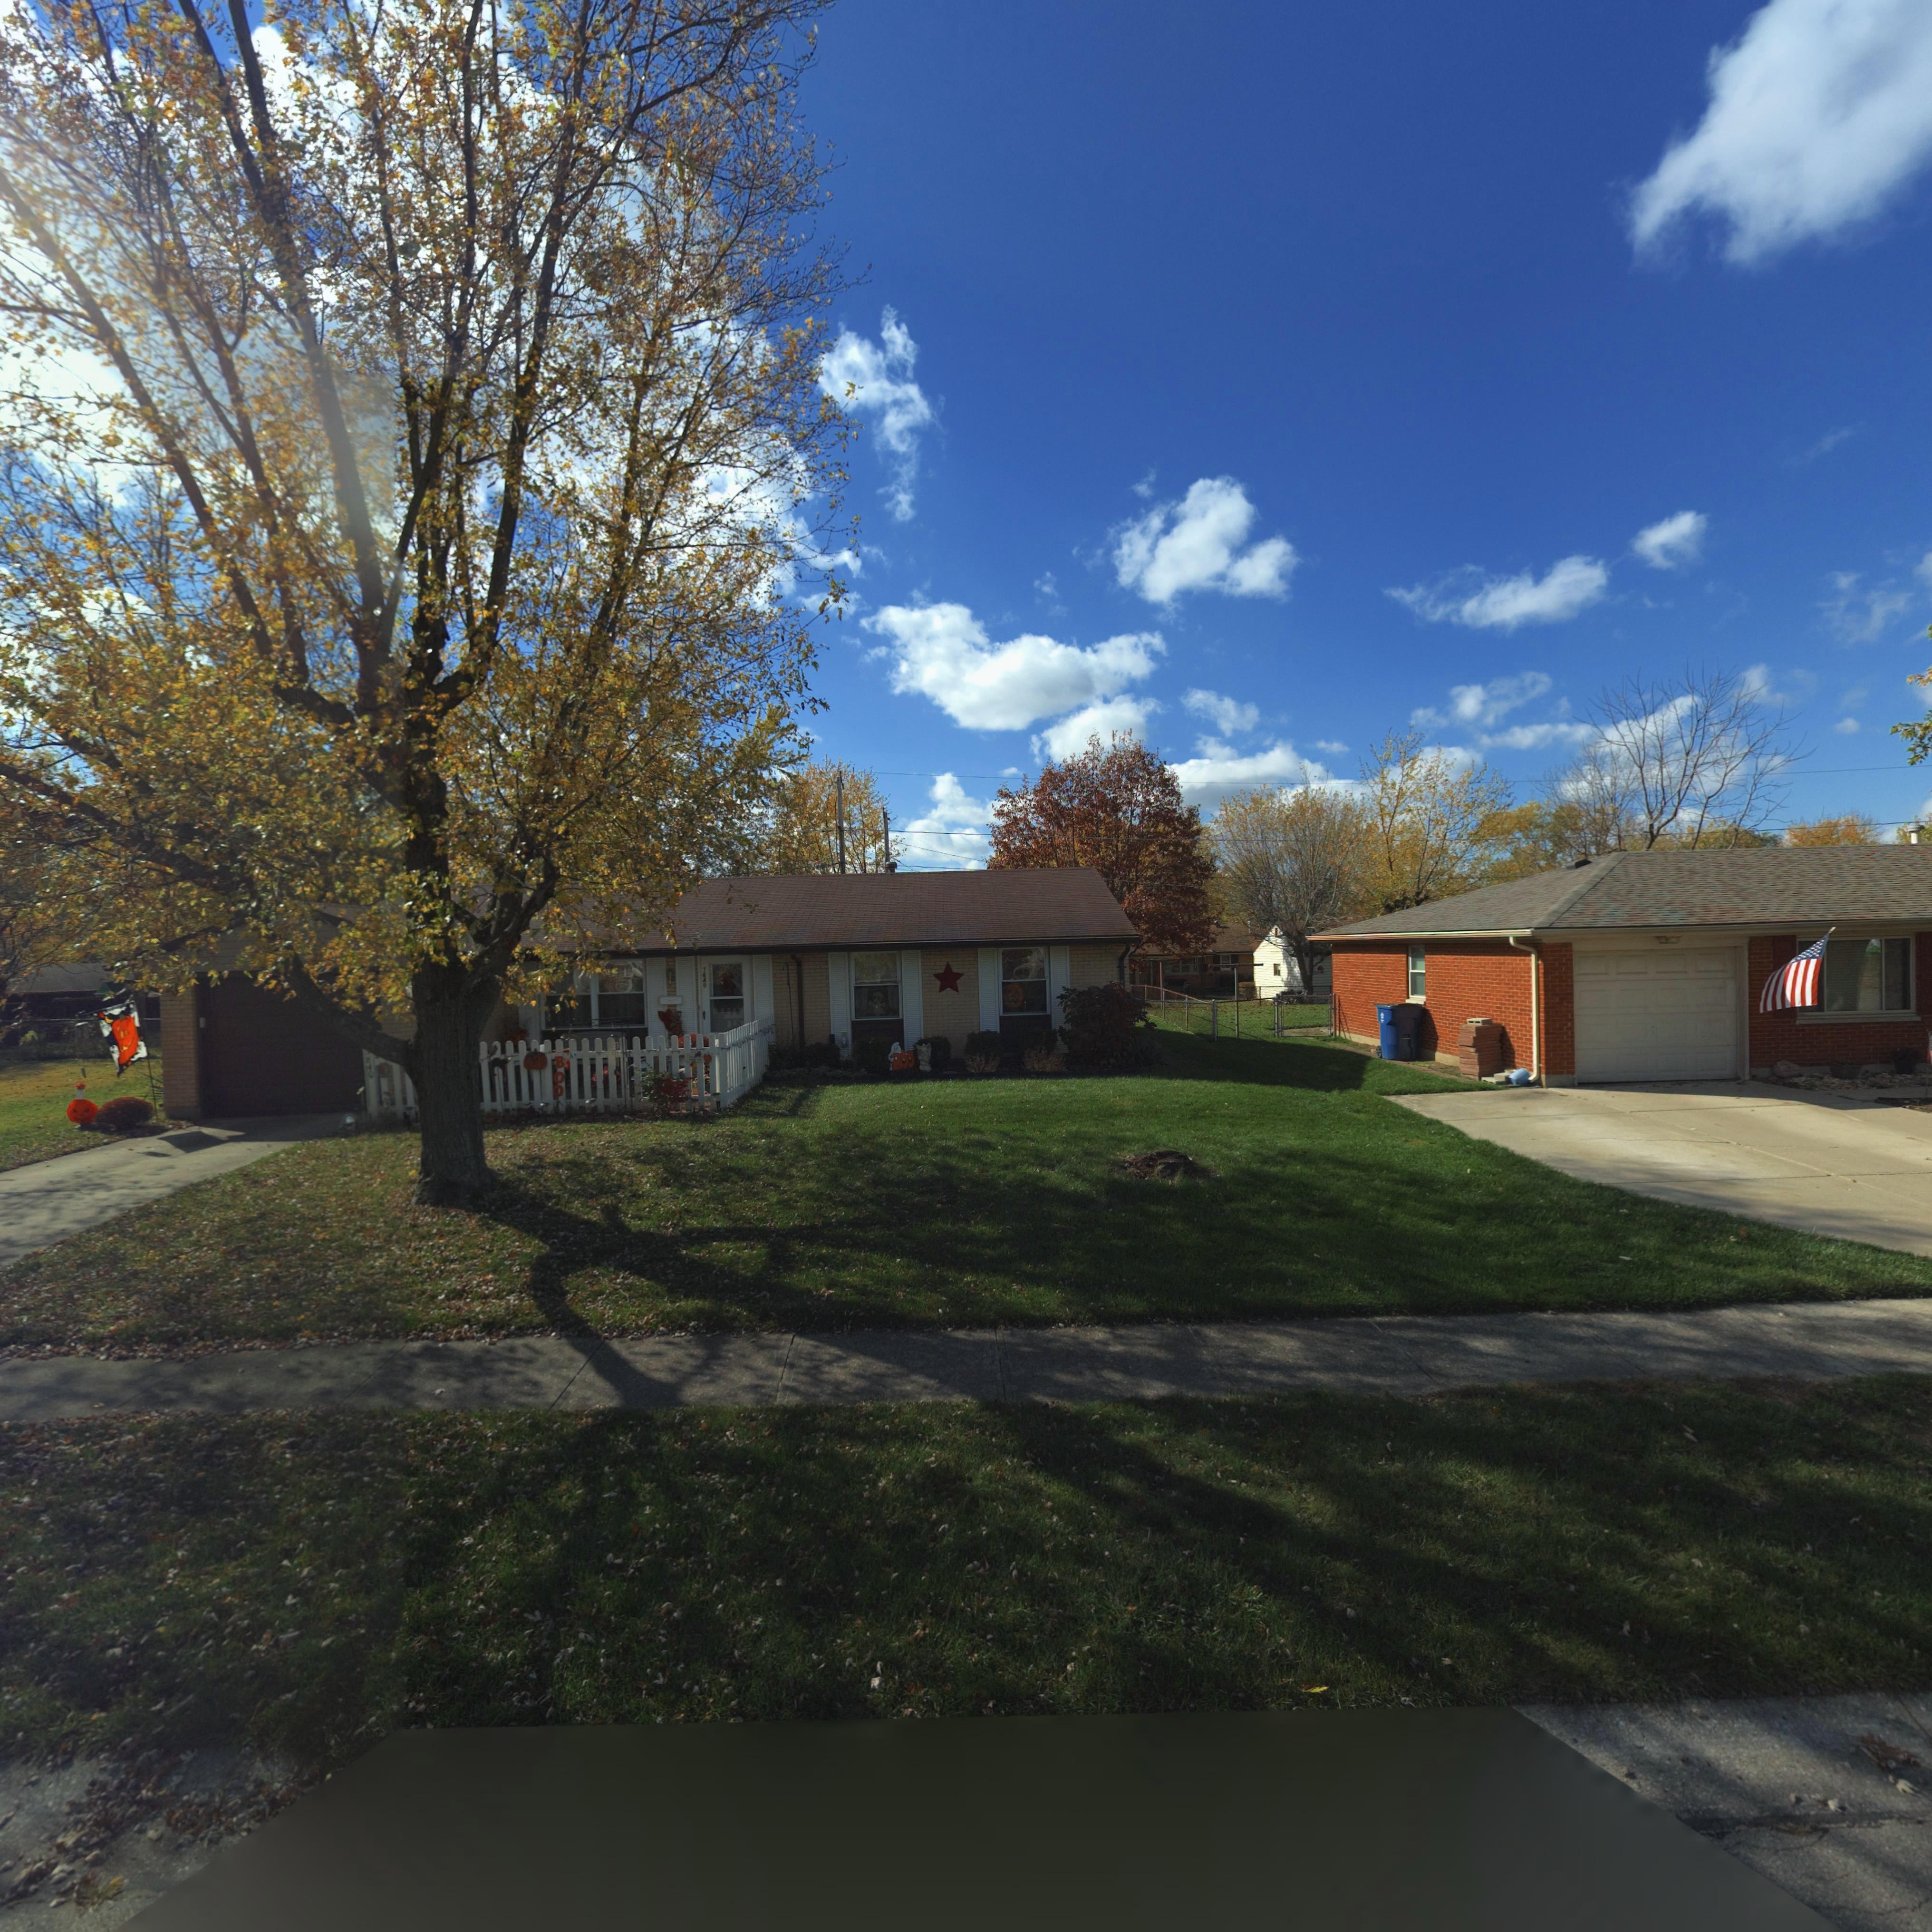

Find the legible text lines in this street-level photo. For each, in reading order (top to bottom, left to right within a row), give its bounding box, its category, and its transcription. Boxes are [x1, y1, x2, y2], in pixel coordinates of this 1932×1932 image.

[702, 966, 707, 988] StreetNumber: 7640
[365, 1053, 375, 1080] StreetNumber: 640